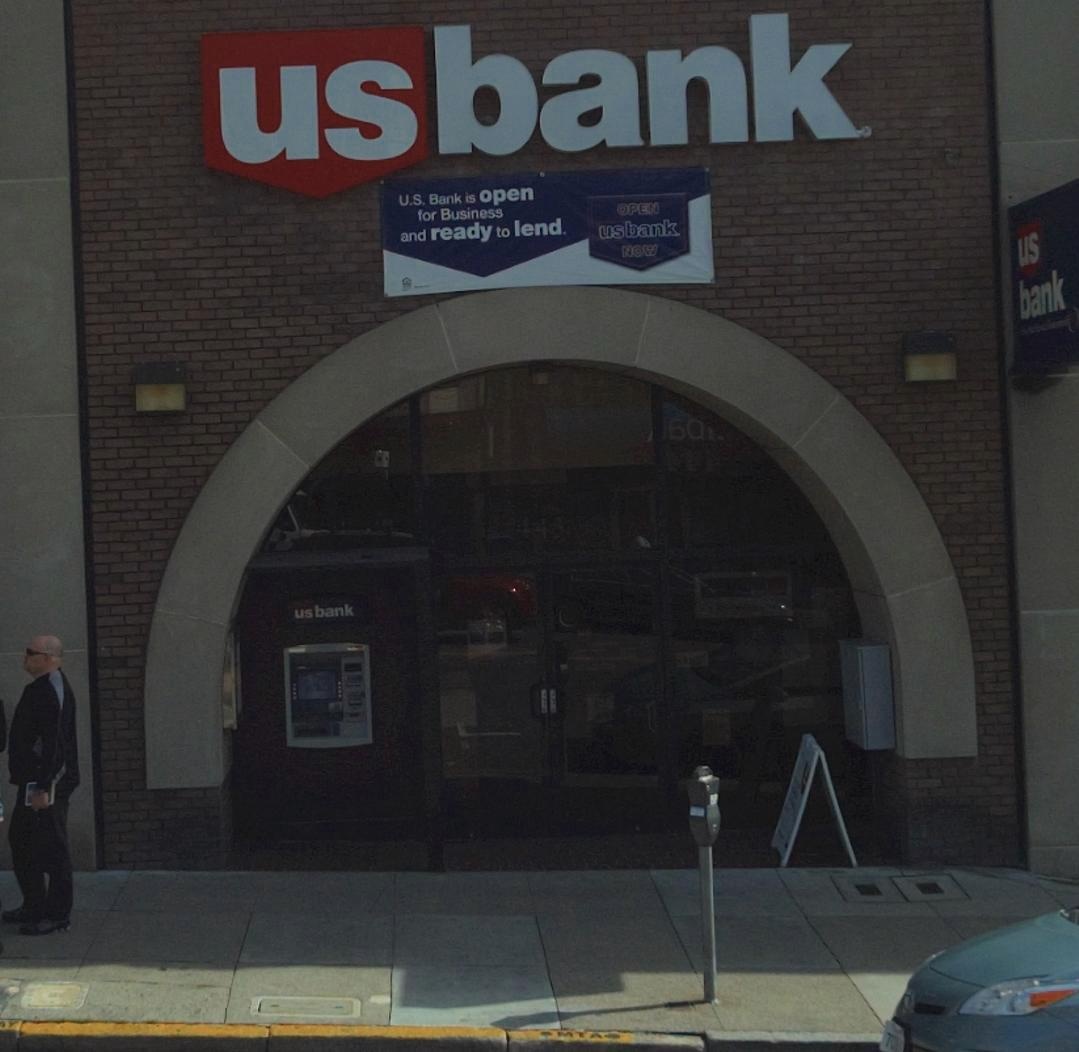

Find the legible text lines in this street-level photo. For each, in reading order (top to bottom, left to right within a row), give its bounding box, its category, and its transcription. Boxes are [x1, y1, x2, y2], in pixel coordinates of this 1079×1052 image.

[213, 5, 866, 167] BusinessName: us bank
[396, 191, 464, 208] BusinessName: U.S. Bank
[417, 206, 504, 222] None: for Business
[463, 185, 537, 207] None: is open
[614, 200, 663, 218] None: OPEN
[399, 216, 569, 244] None: and ready to lend.
[597, 217, 683, 241] BusinessName: us bank
[618, 241, 659, 261] None: NOW
[1015, 230, 1042, 270] BusinessName: us
[1018, 267, 1066, 323] BusinessName: bank
[514, 513, 567, 545] StreetNumber: 443
[292, 602, 356, 620] None: us bank